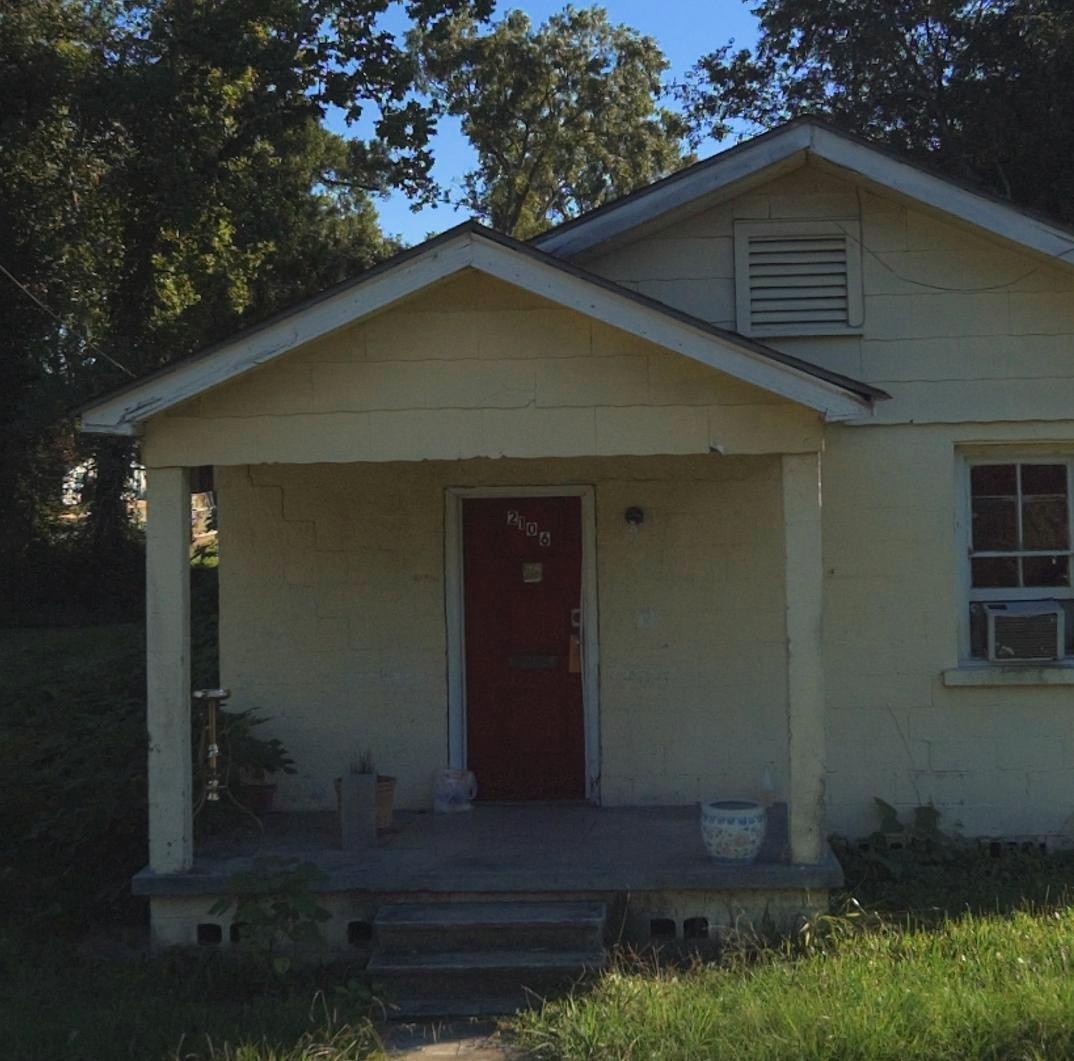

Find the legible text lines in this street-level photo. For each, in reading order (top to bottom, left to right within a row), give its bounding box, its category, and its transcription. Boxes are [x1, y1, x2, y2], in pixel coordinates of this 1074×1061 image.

[507, 510, 550, 547] StreetNumber: 2106